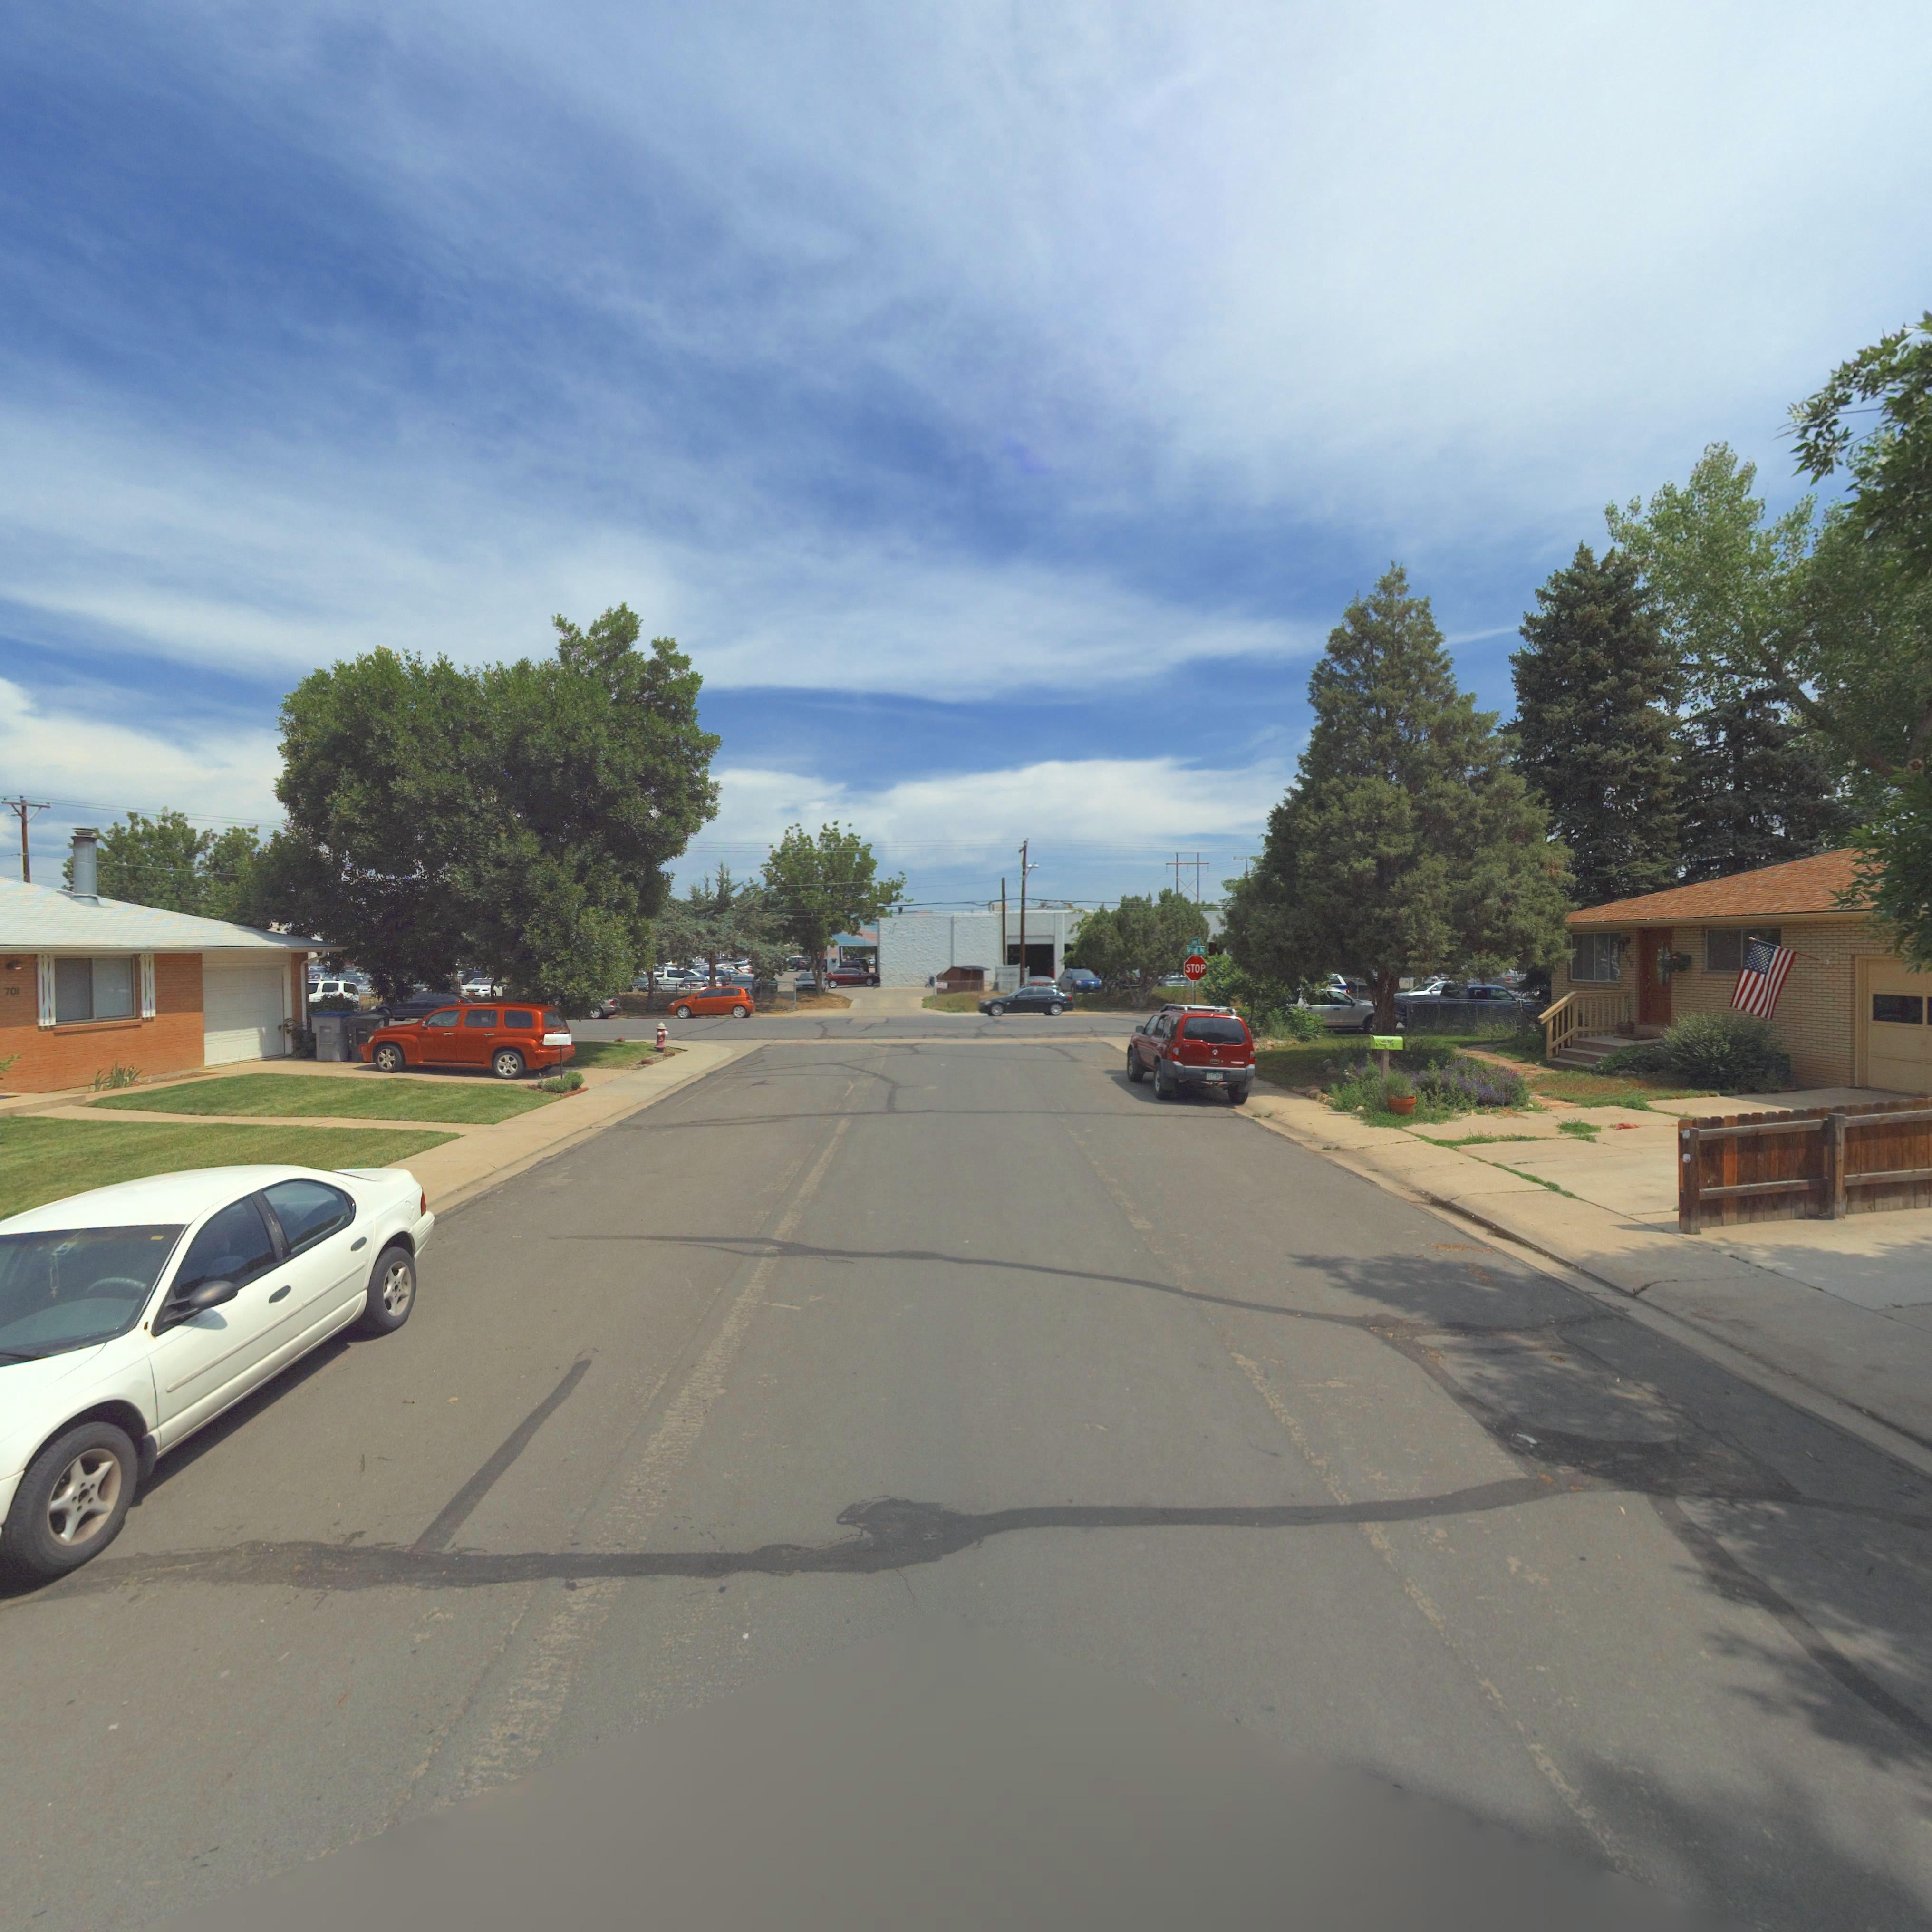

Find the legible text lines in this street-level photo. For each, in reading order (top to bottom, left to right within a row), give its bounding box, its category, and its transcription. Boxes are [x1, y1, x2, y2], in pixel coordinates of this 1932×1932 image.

[1187, 947, 1204, 954] StreetName: Grand Av
[1622, 951, 1636, 970] StreetNumber: 1**
[3, 985, 21, 997] StreetNumber: 701